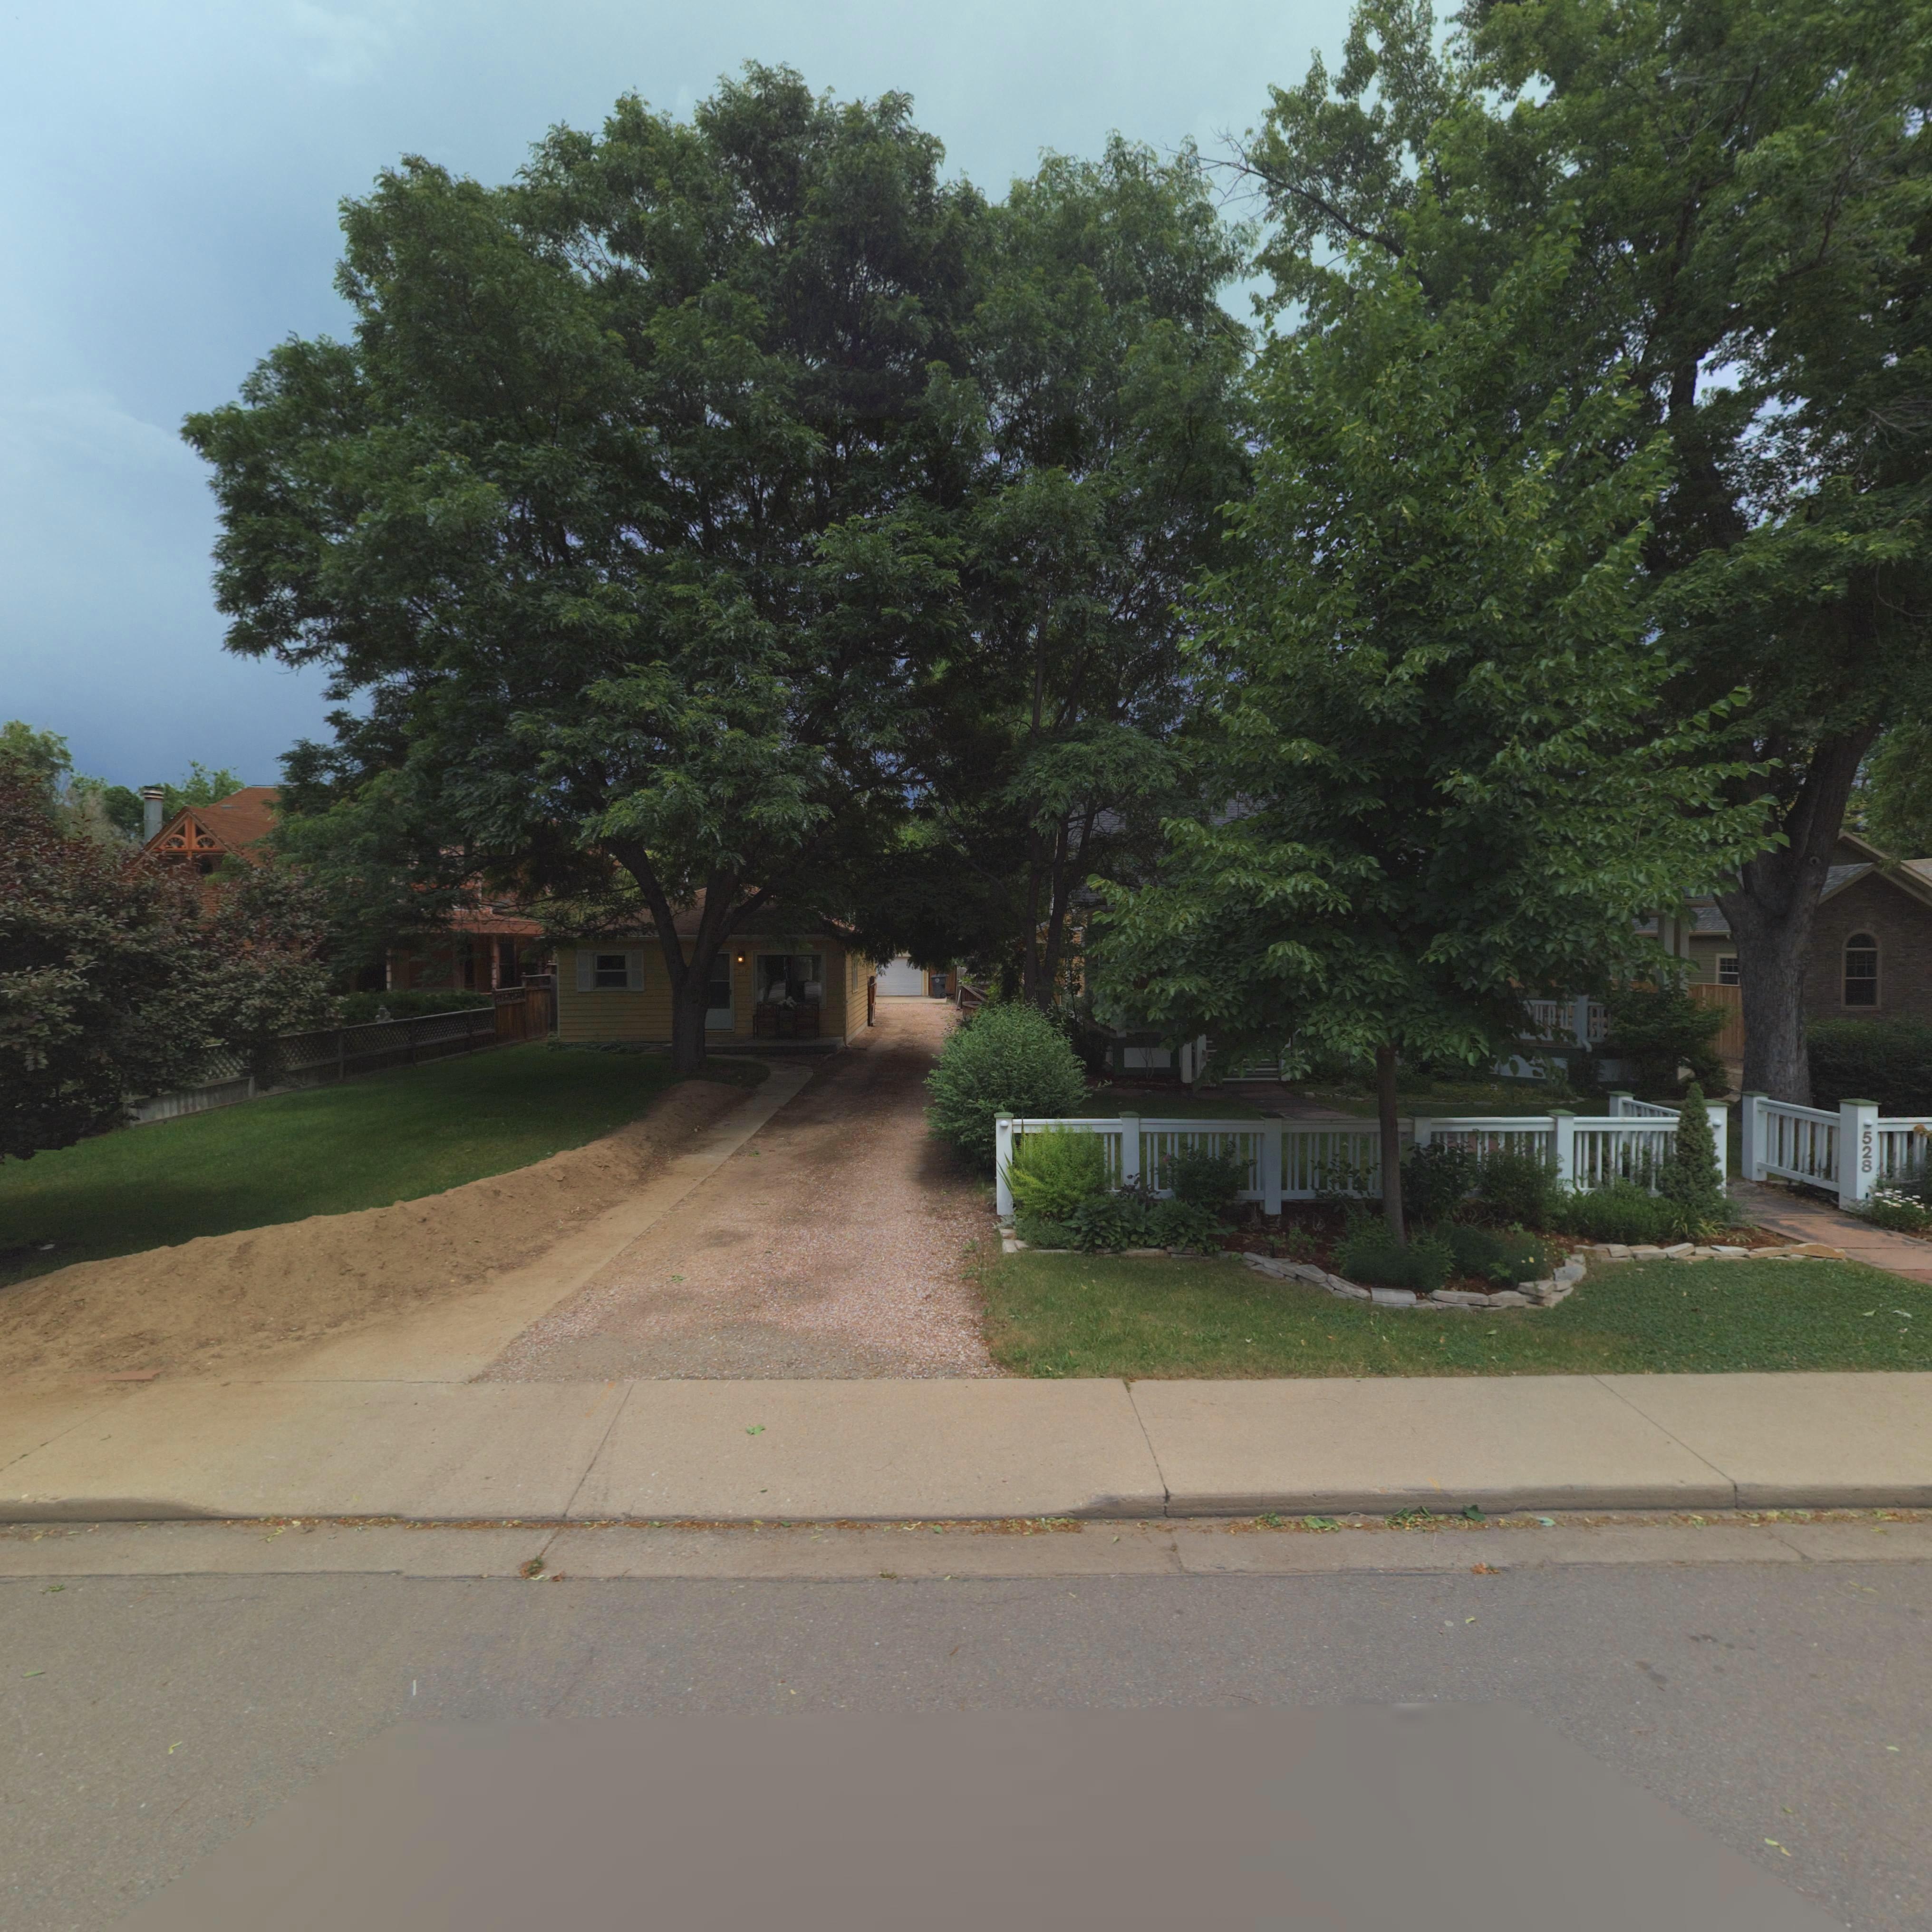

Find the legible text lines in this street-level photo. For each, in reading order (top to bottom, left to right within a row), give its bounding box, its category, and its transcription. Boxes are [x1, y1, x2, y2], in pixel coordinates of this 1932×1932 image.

[1861, 1131, 1873, 1173] StreetNumber: 528